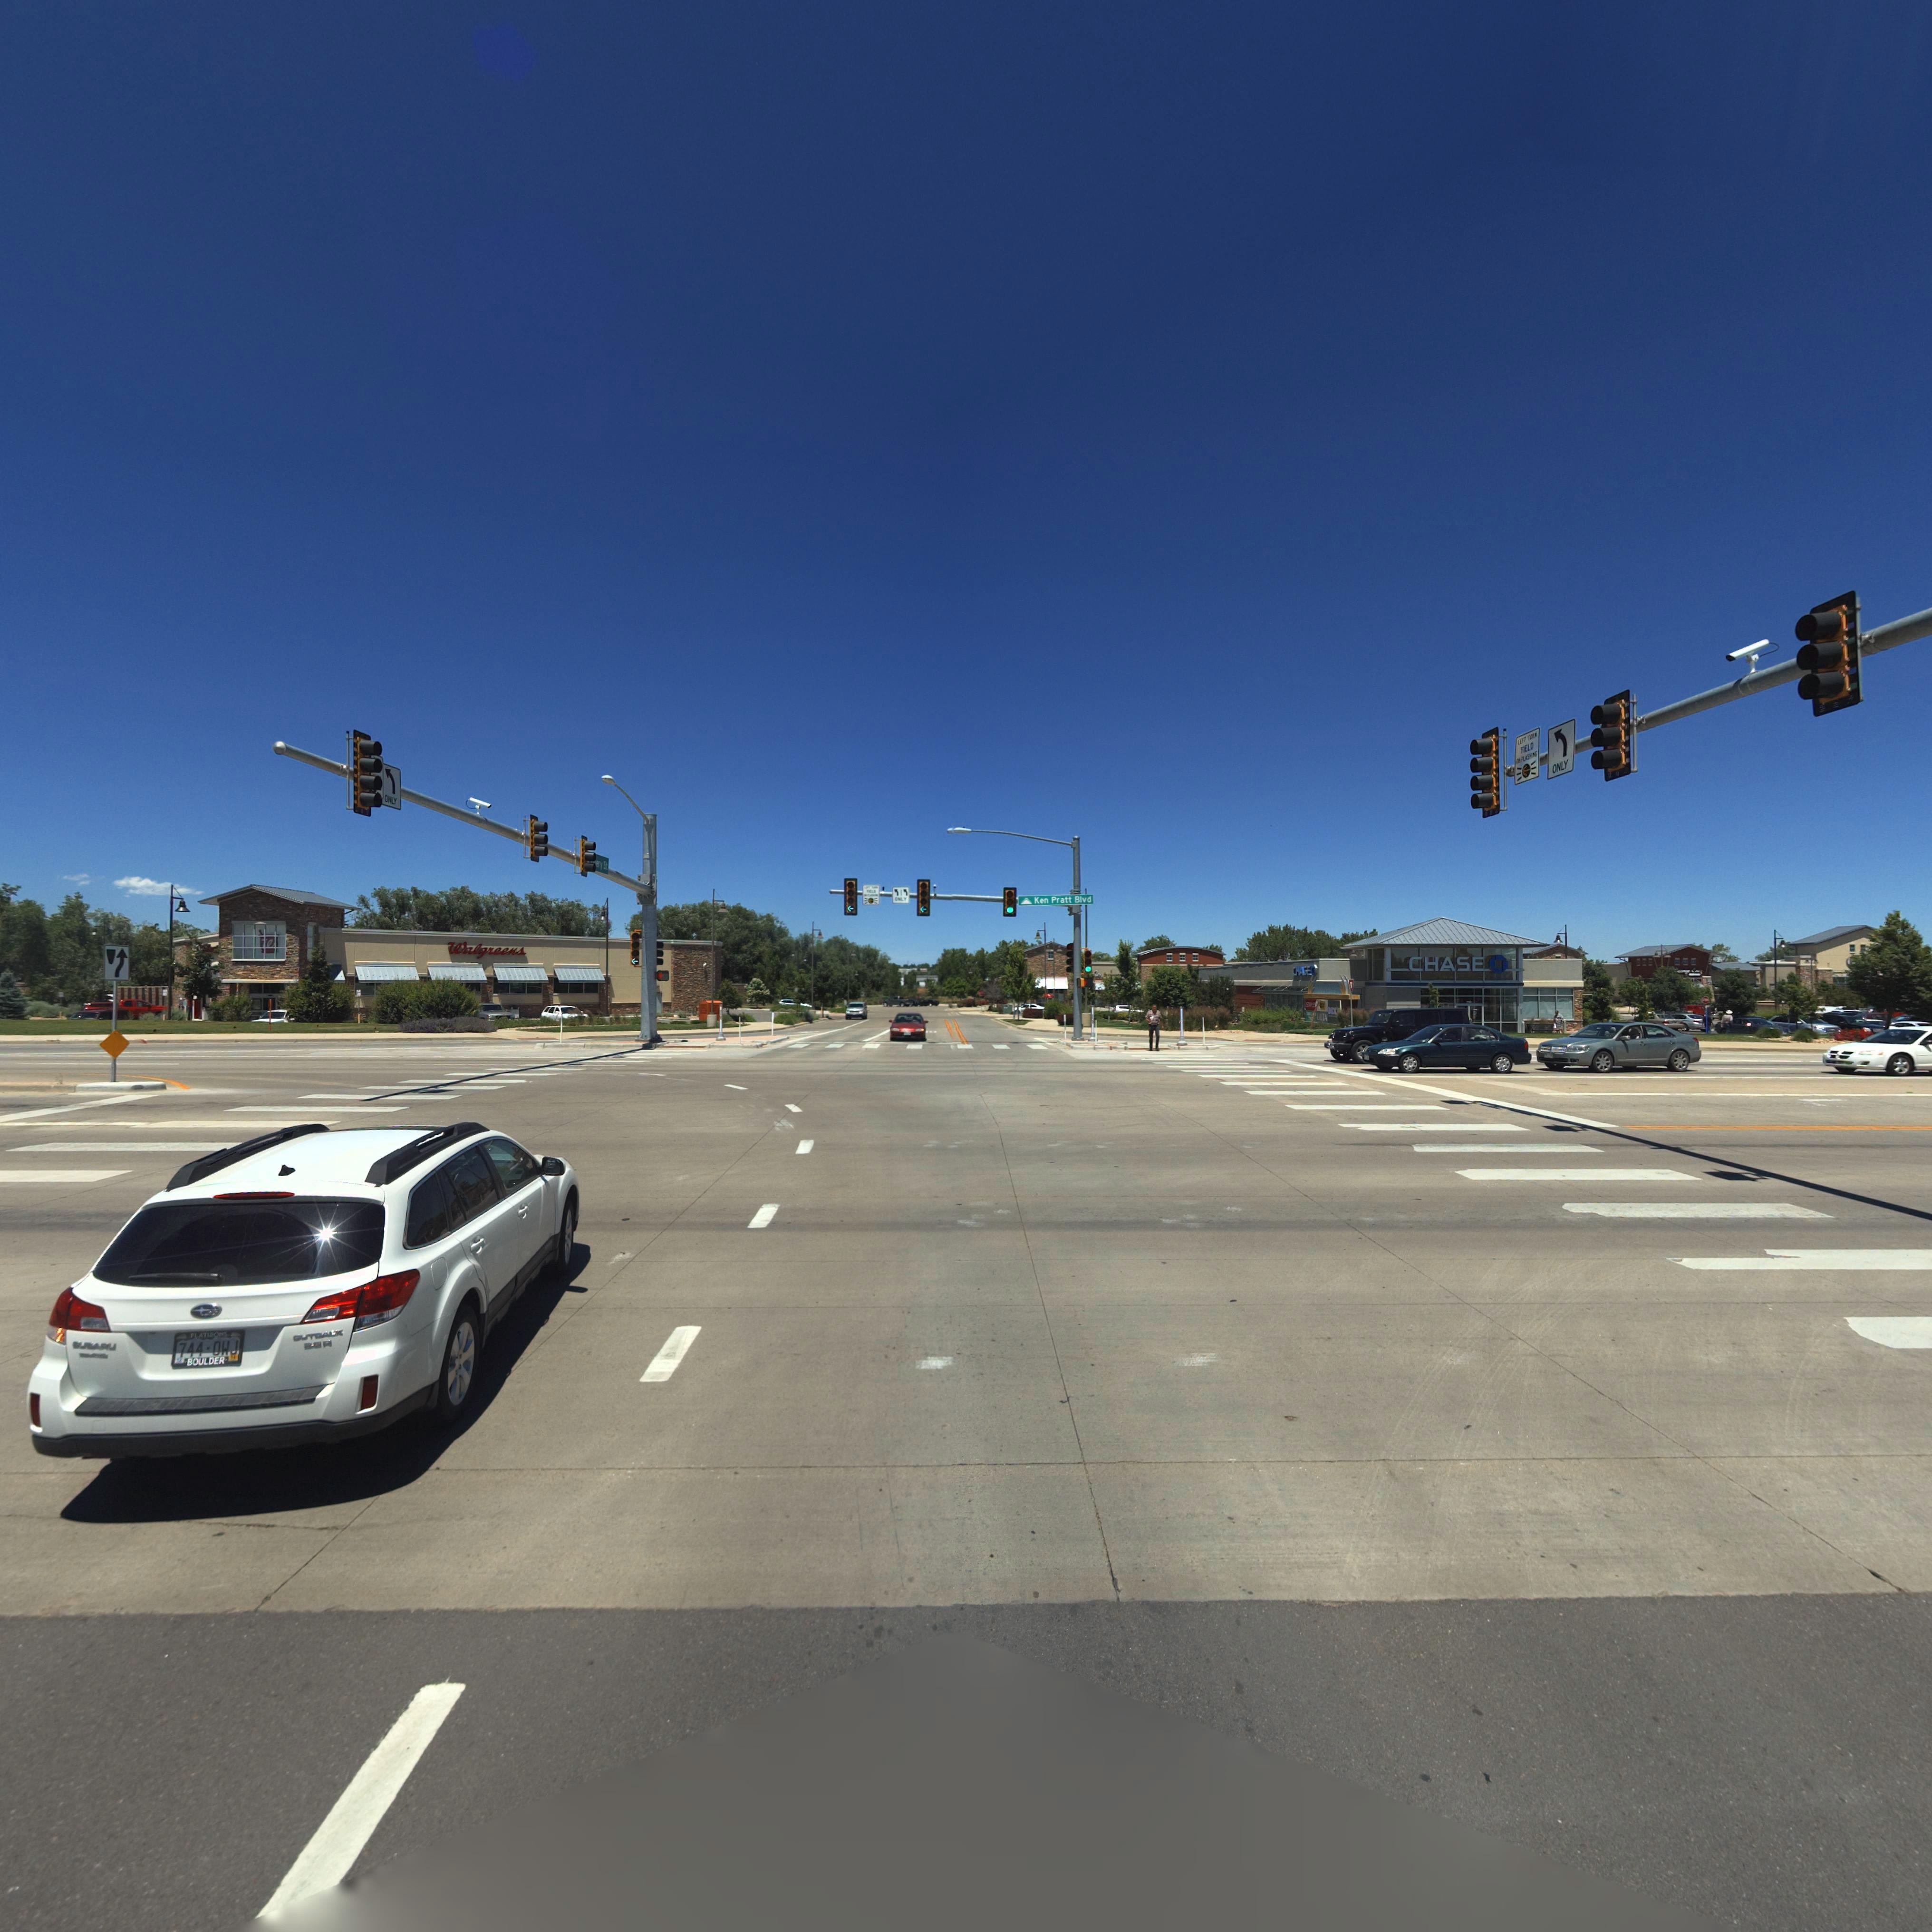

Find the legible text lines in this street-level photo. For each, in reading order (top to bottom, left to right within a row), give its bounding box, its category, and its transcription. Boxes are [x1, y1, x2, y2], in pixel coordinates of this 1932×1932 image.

[595, 860, 608, 870] StreetName: ery St
[1034, 895, 1092, 904] StreetName: Ken Pratt Blvd
[447, 940, 525, 960] BusinessName: Walgreens
[1408, 956, 1484, 972] BusinessName: CHASE
[1091, 969, 1102, 978] BusinessName: *s
[1291, 965, 1312, 976] BusinessName: CHASE
[1673, 966, 1702, 975] BusinessName: ***sag* ***y
[1305, 1001, 1315, 1008] BusinessName: S**P***
[1306, 1011, 1316, 1016] BusinessName: DOL***
[1308, 1016, 1314, 1020] BusinessName: TR**
[1319, 1005, 1324, 1008] BusinessName: **Y
[1316, 1013, 1328, 1022] BusinessName: ULTA
[1328, 1007, 1340, 1015] BusinessName: D*CK**